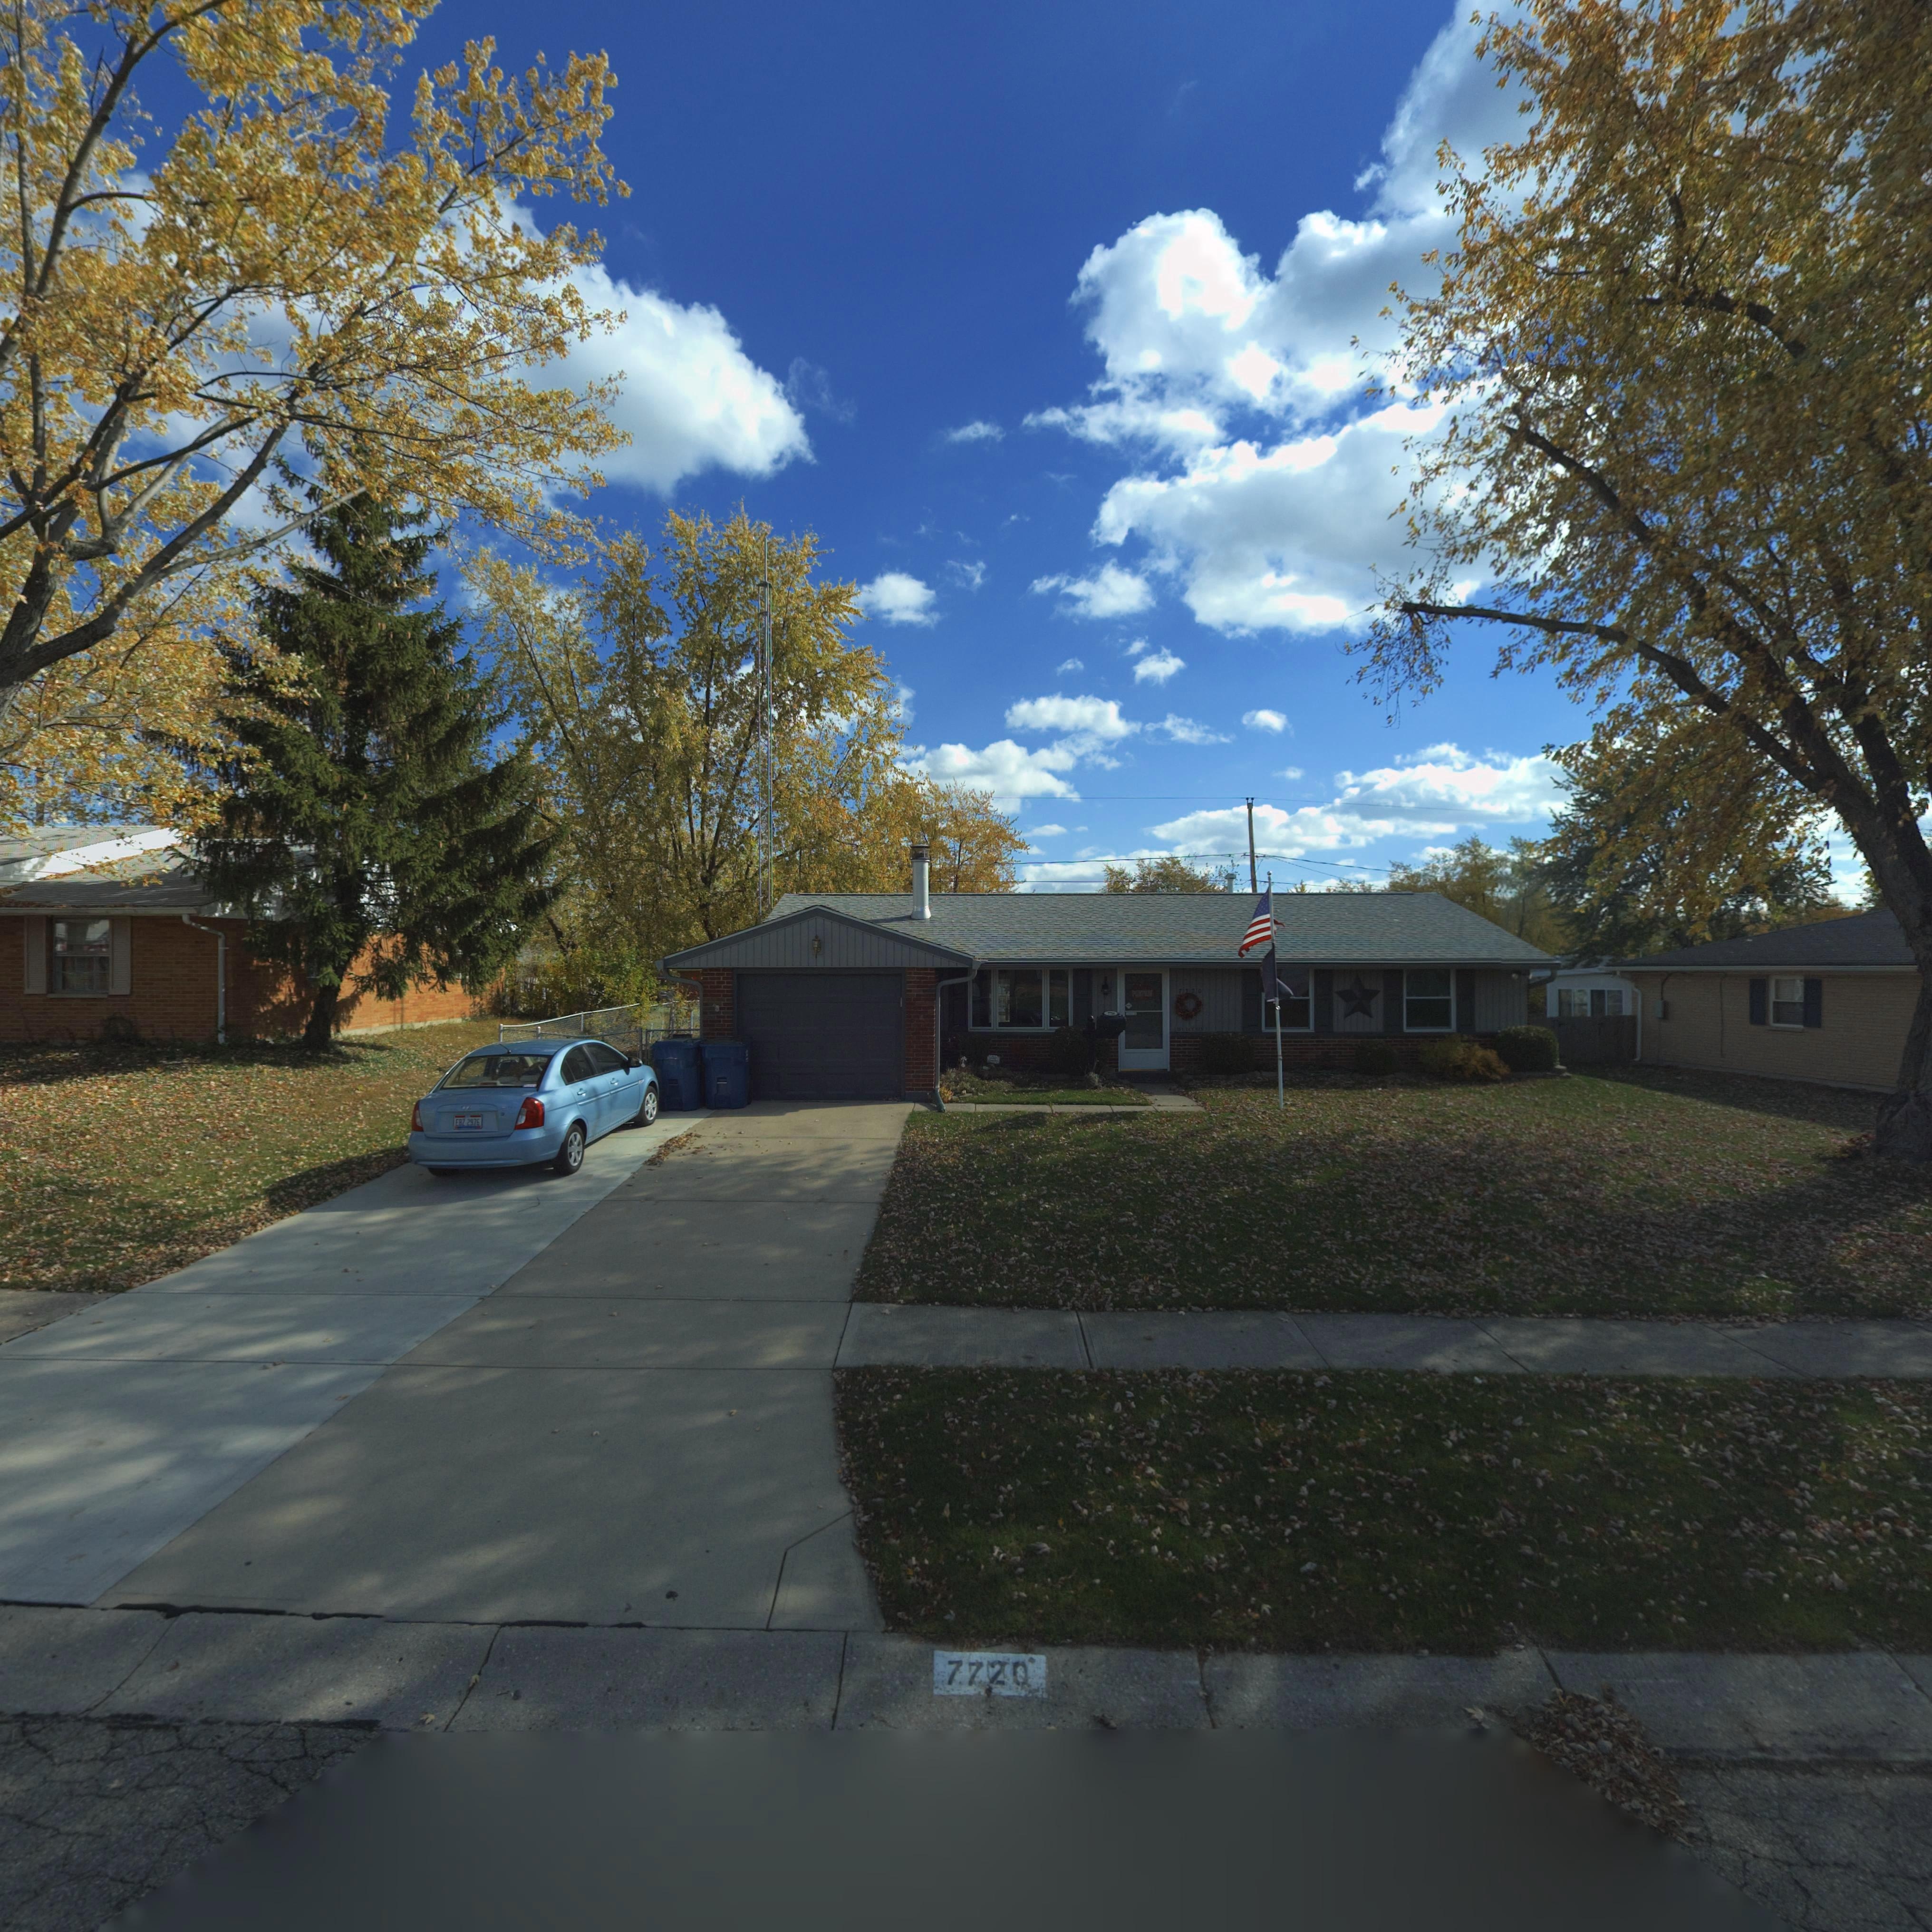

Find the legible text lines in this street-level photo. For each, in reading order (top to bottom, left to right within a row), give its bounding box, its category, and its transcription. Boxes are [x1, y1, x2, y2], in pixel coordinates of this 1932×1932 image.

[1178, 988, 1203, 994] StreetNumber: 77*0
[1107, 1012, 1115, 1015] StreetNumber: 7720
[946, 1658, 1031, 1687] StreetNumber: 7720